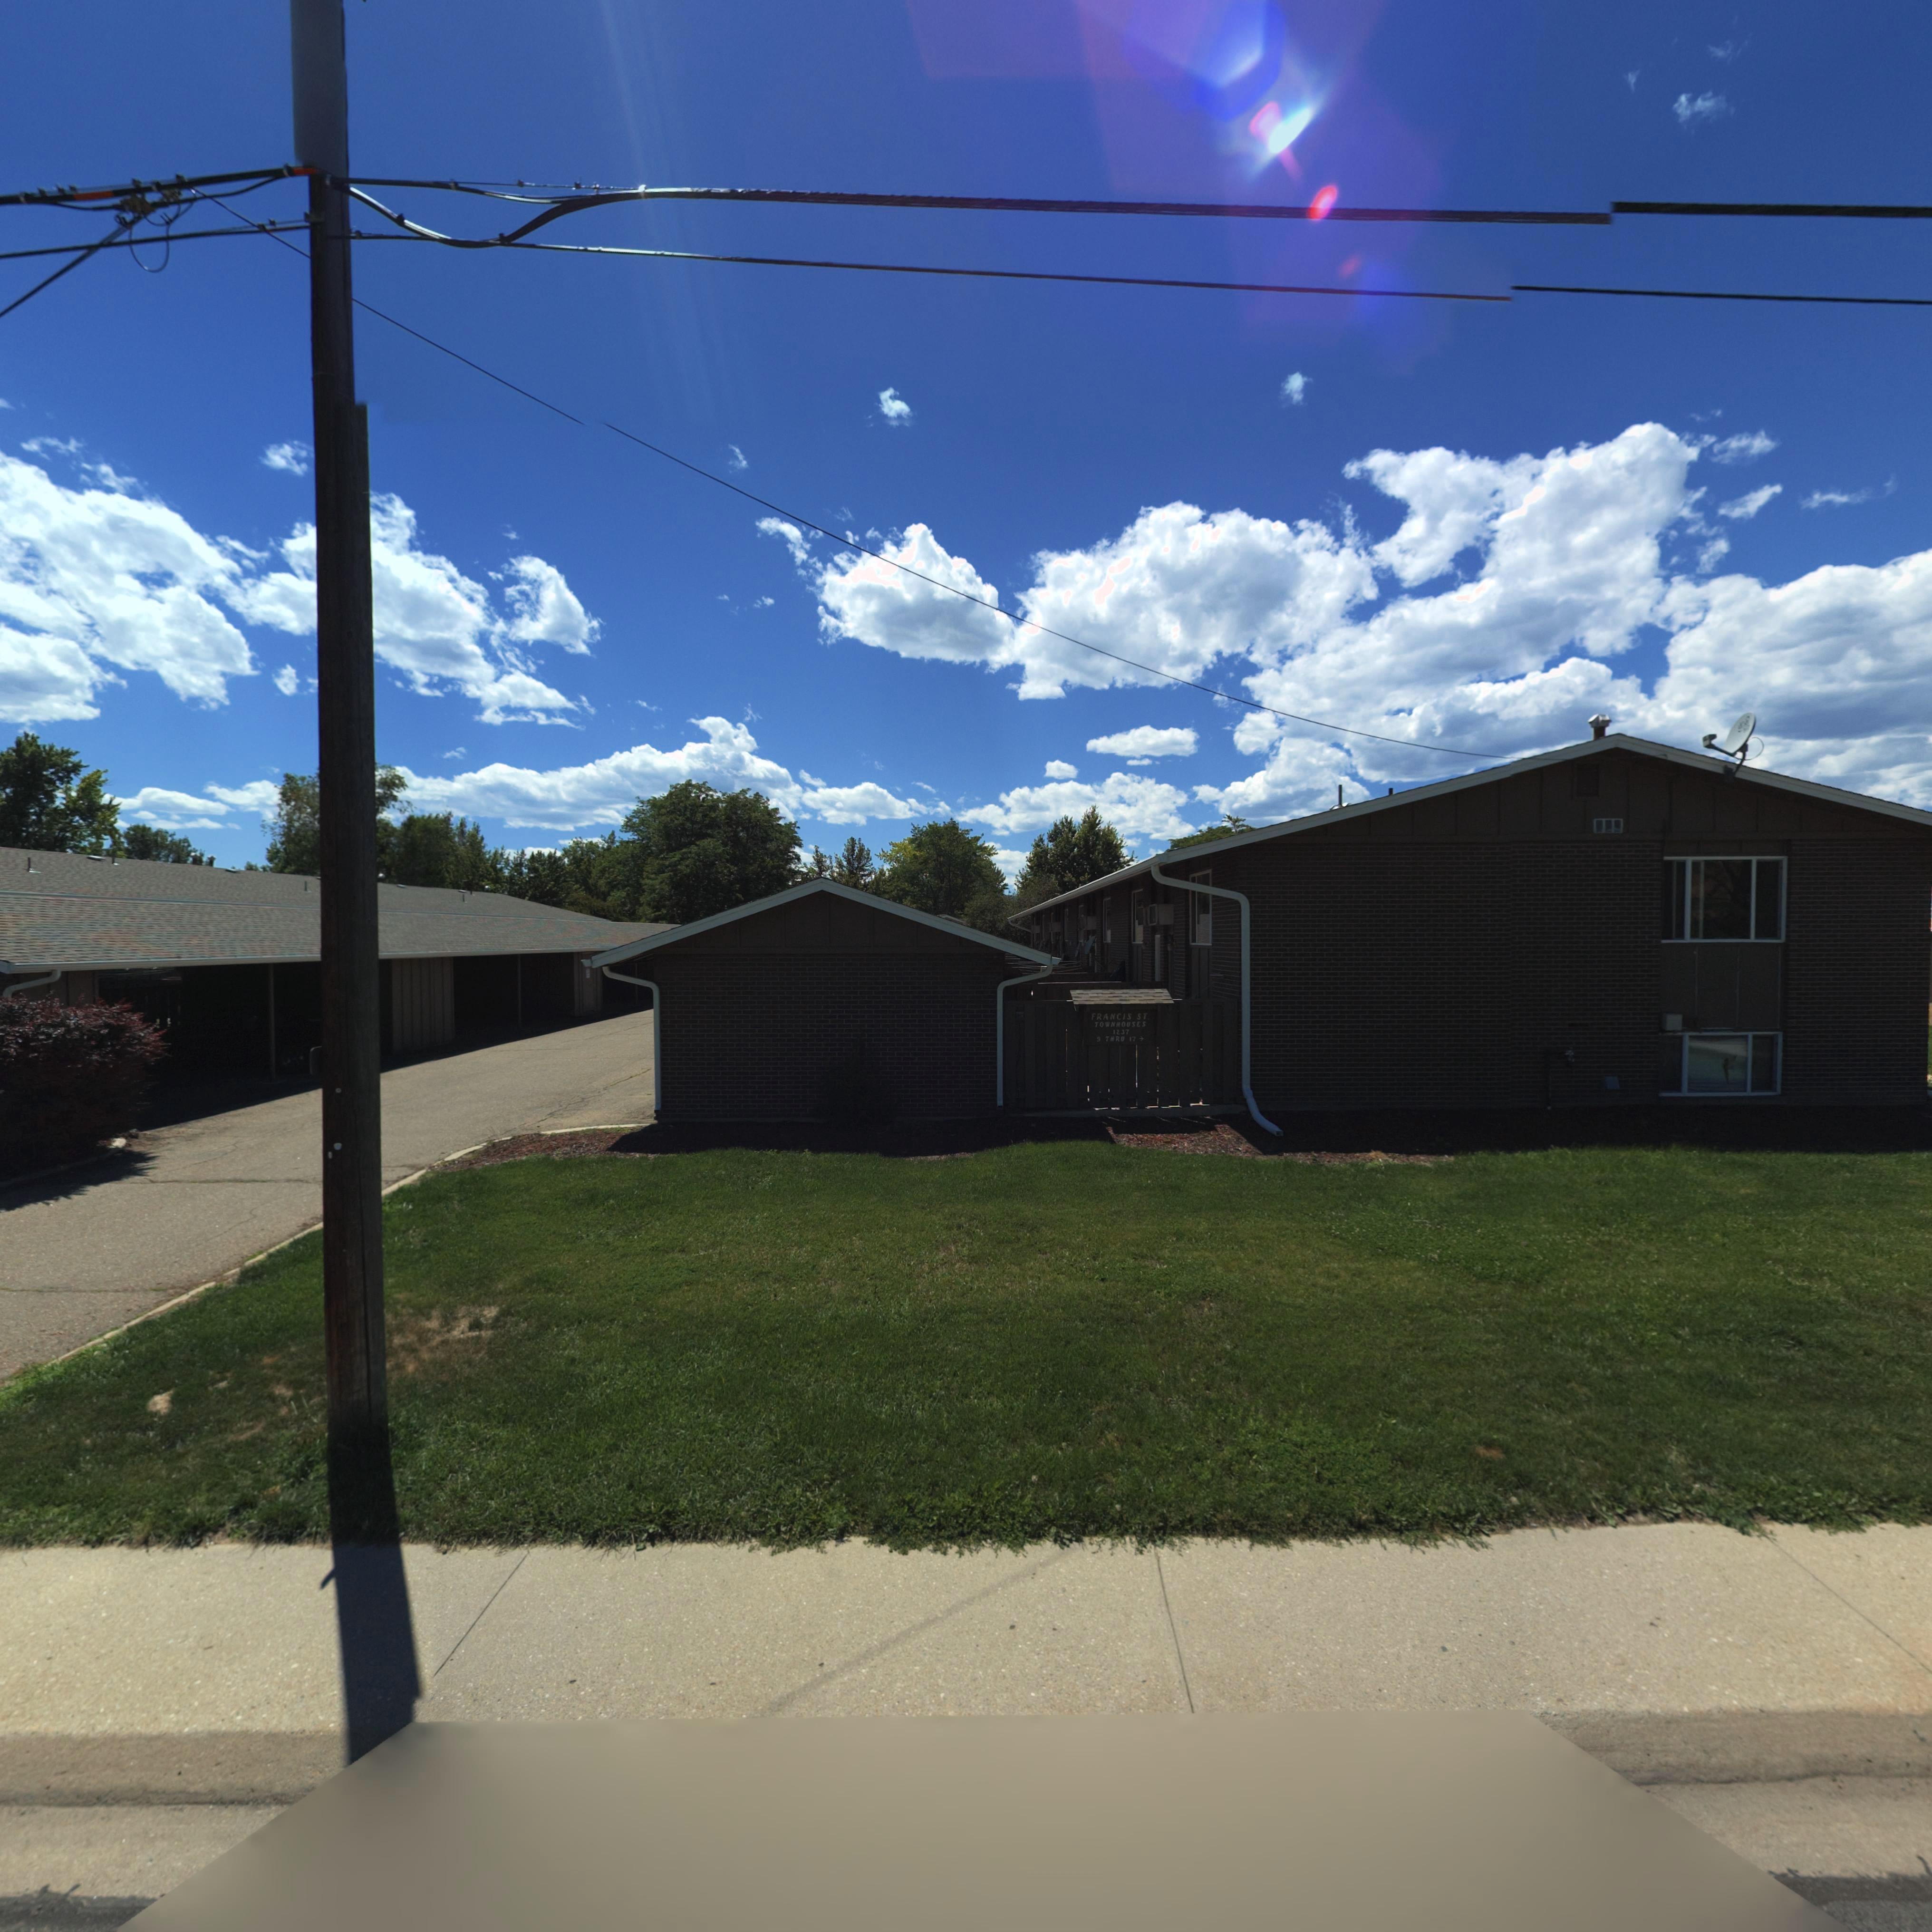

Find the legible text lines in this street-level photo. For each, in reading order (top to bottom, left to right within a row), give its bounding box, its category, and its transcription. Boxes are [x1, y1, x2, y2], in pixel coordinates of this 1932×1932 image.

[1090, 1012, 1148, 1021] BusinessName: FRANCIS ST
[1094, 1021, 1146, 1027] BusinessName: TOWNHOUSES
[1112, 1029, 1130, 1035] StreetNumber: 1237
[1096, 1035, 1101, 1042] StreetNumber: 9
[1129, 1036, 1136, 1042] StreetNumber: 17